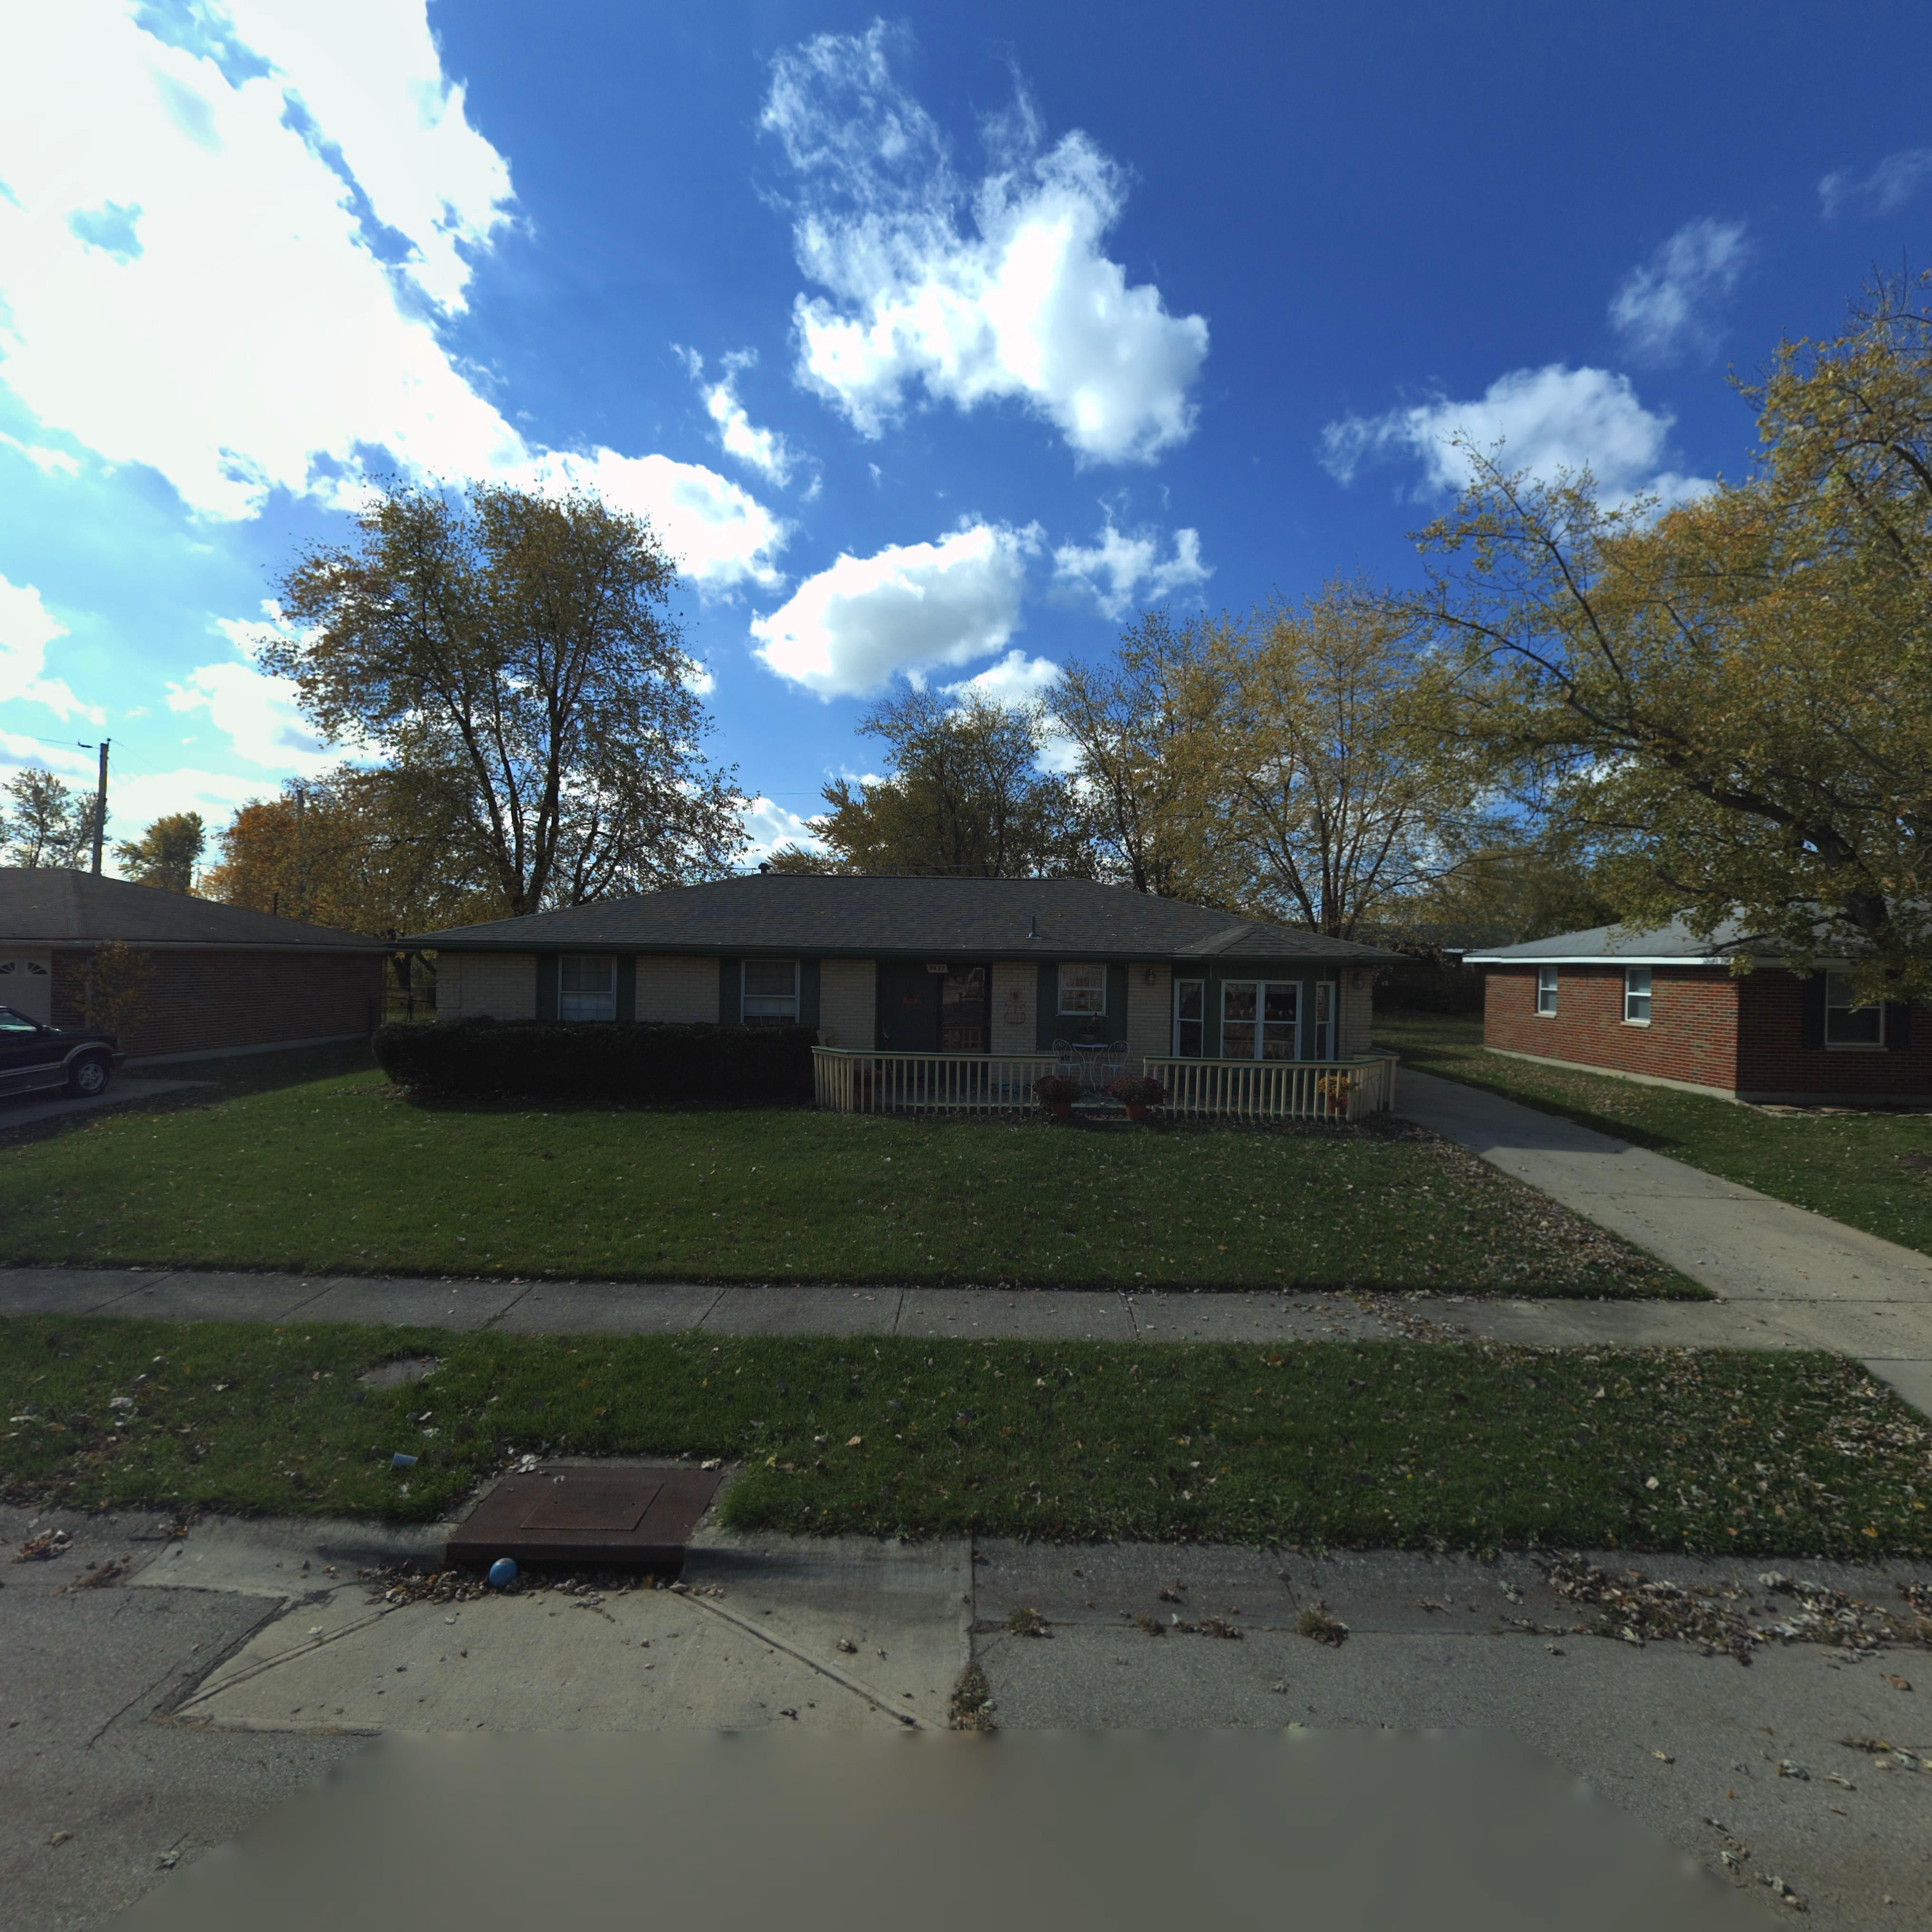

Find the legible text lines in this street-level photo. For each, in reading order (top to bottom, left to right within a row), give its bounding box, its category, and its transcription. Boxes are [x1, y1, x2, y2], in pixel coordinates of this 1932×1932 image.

[928, 965, 947, 972] StreetNumber: 7637